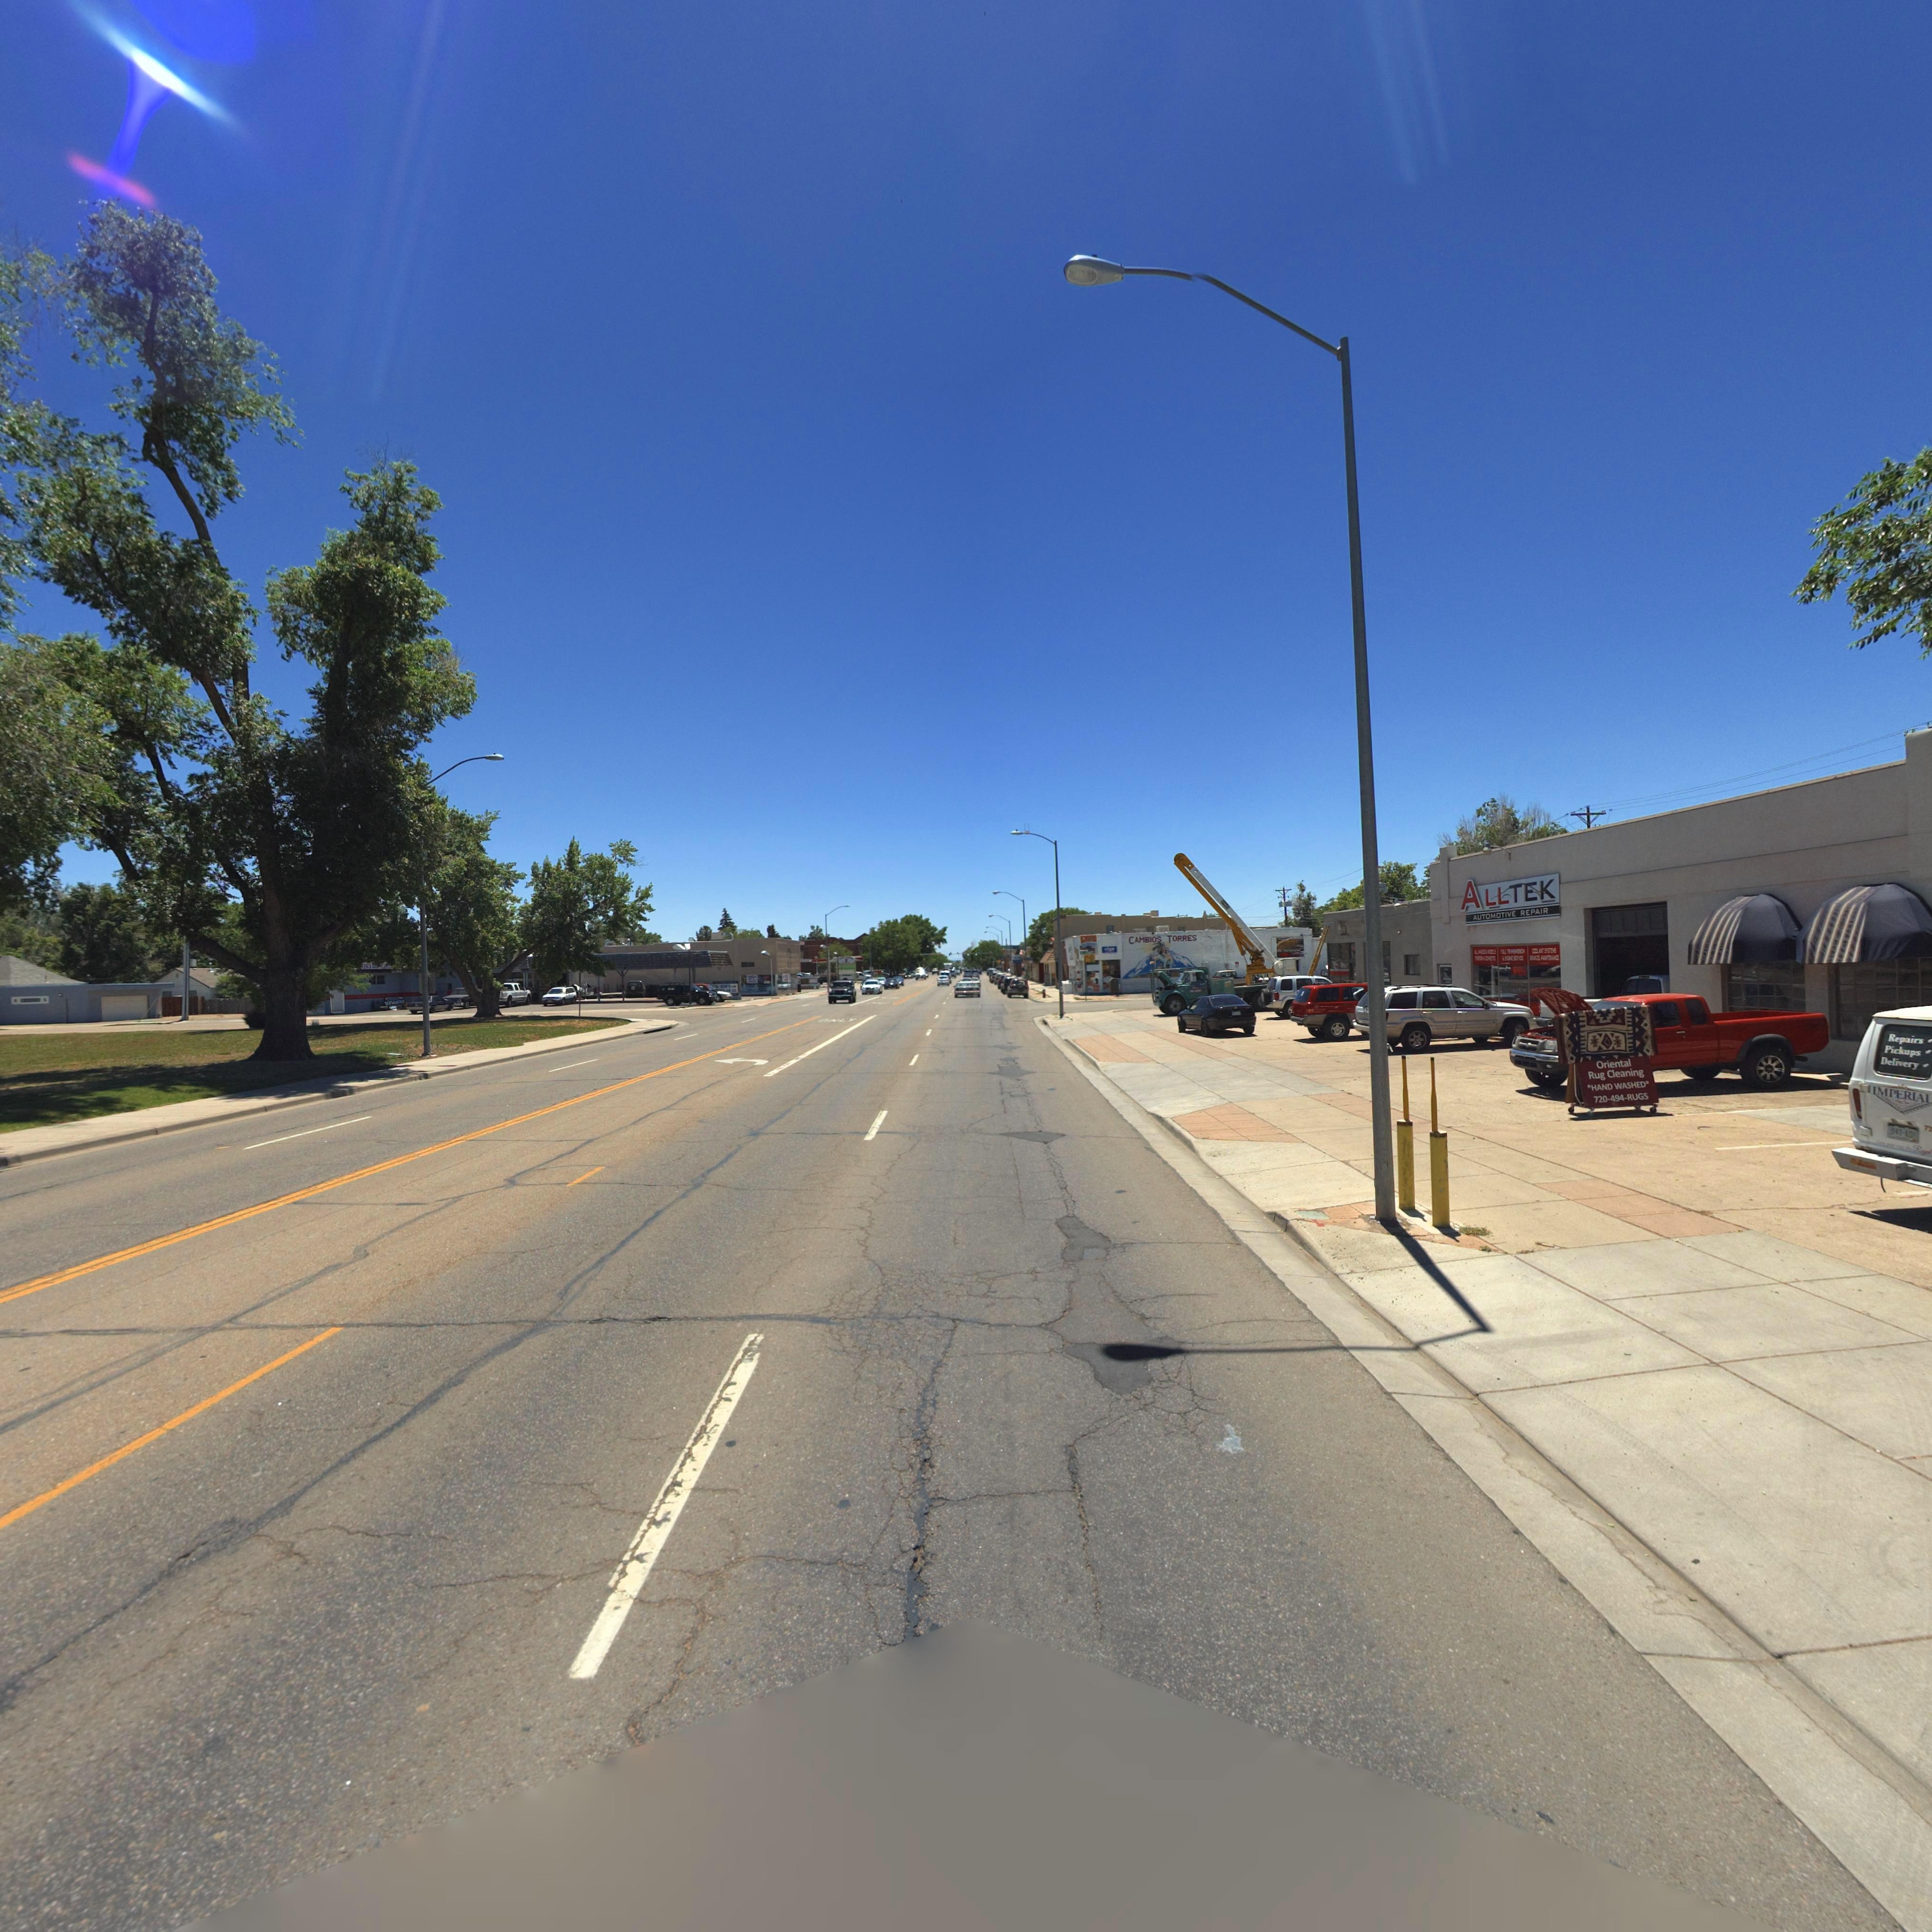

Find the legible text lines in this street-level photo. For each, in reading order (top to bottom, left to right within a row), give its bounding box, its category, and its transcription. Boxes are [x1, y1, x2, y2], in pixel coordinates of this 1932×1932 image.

[1460, 878, 1556, 910] BusinessName: ALLLTEK
[1472, 907, 1548, 920] BusinessName: AUTOMOTIVE REPAIR